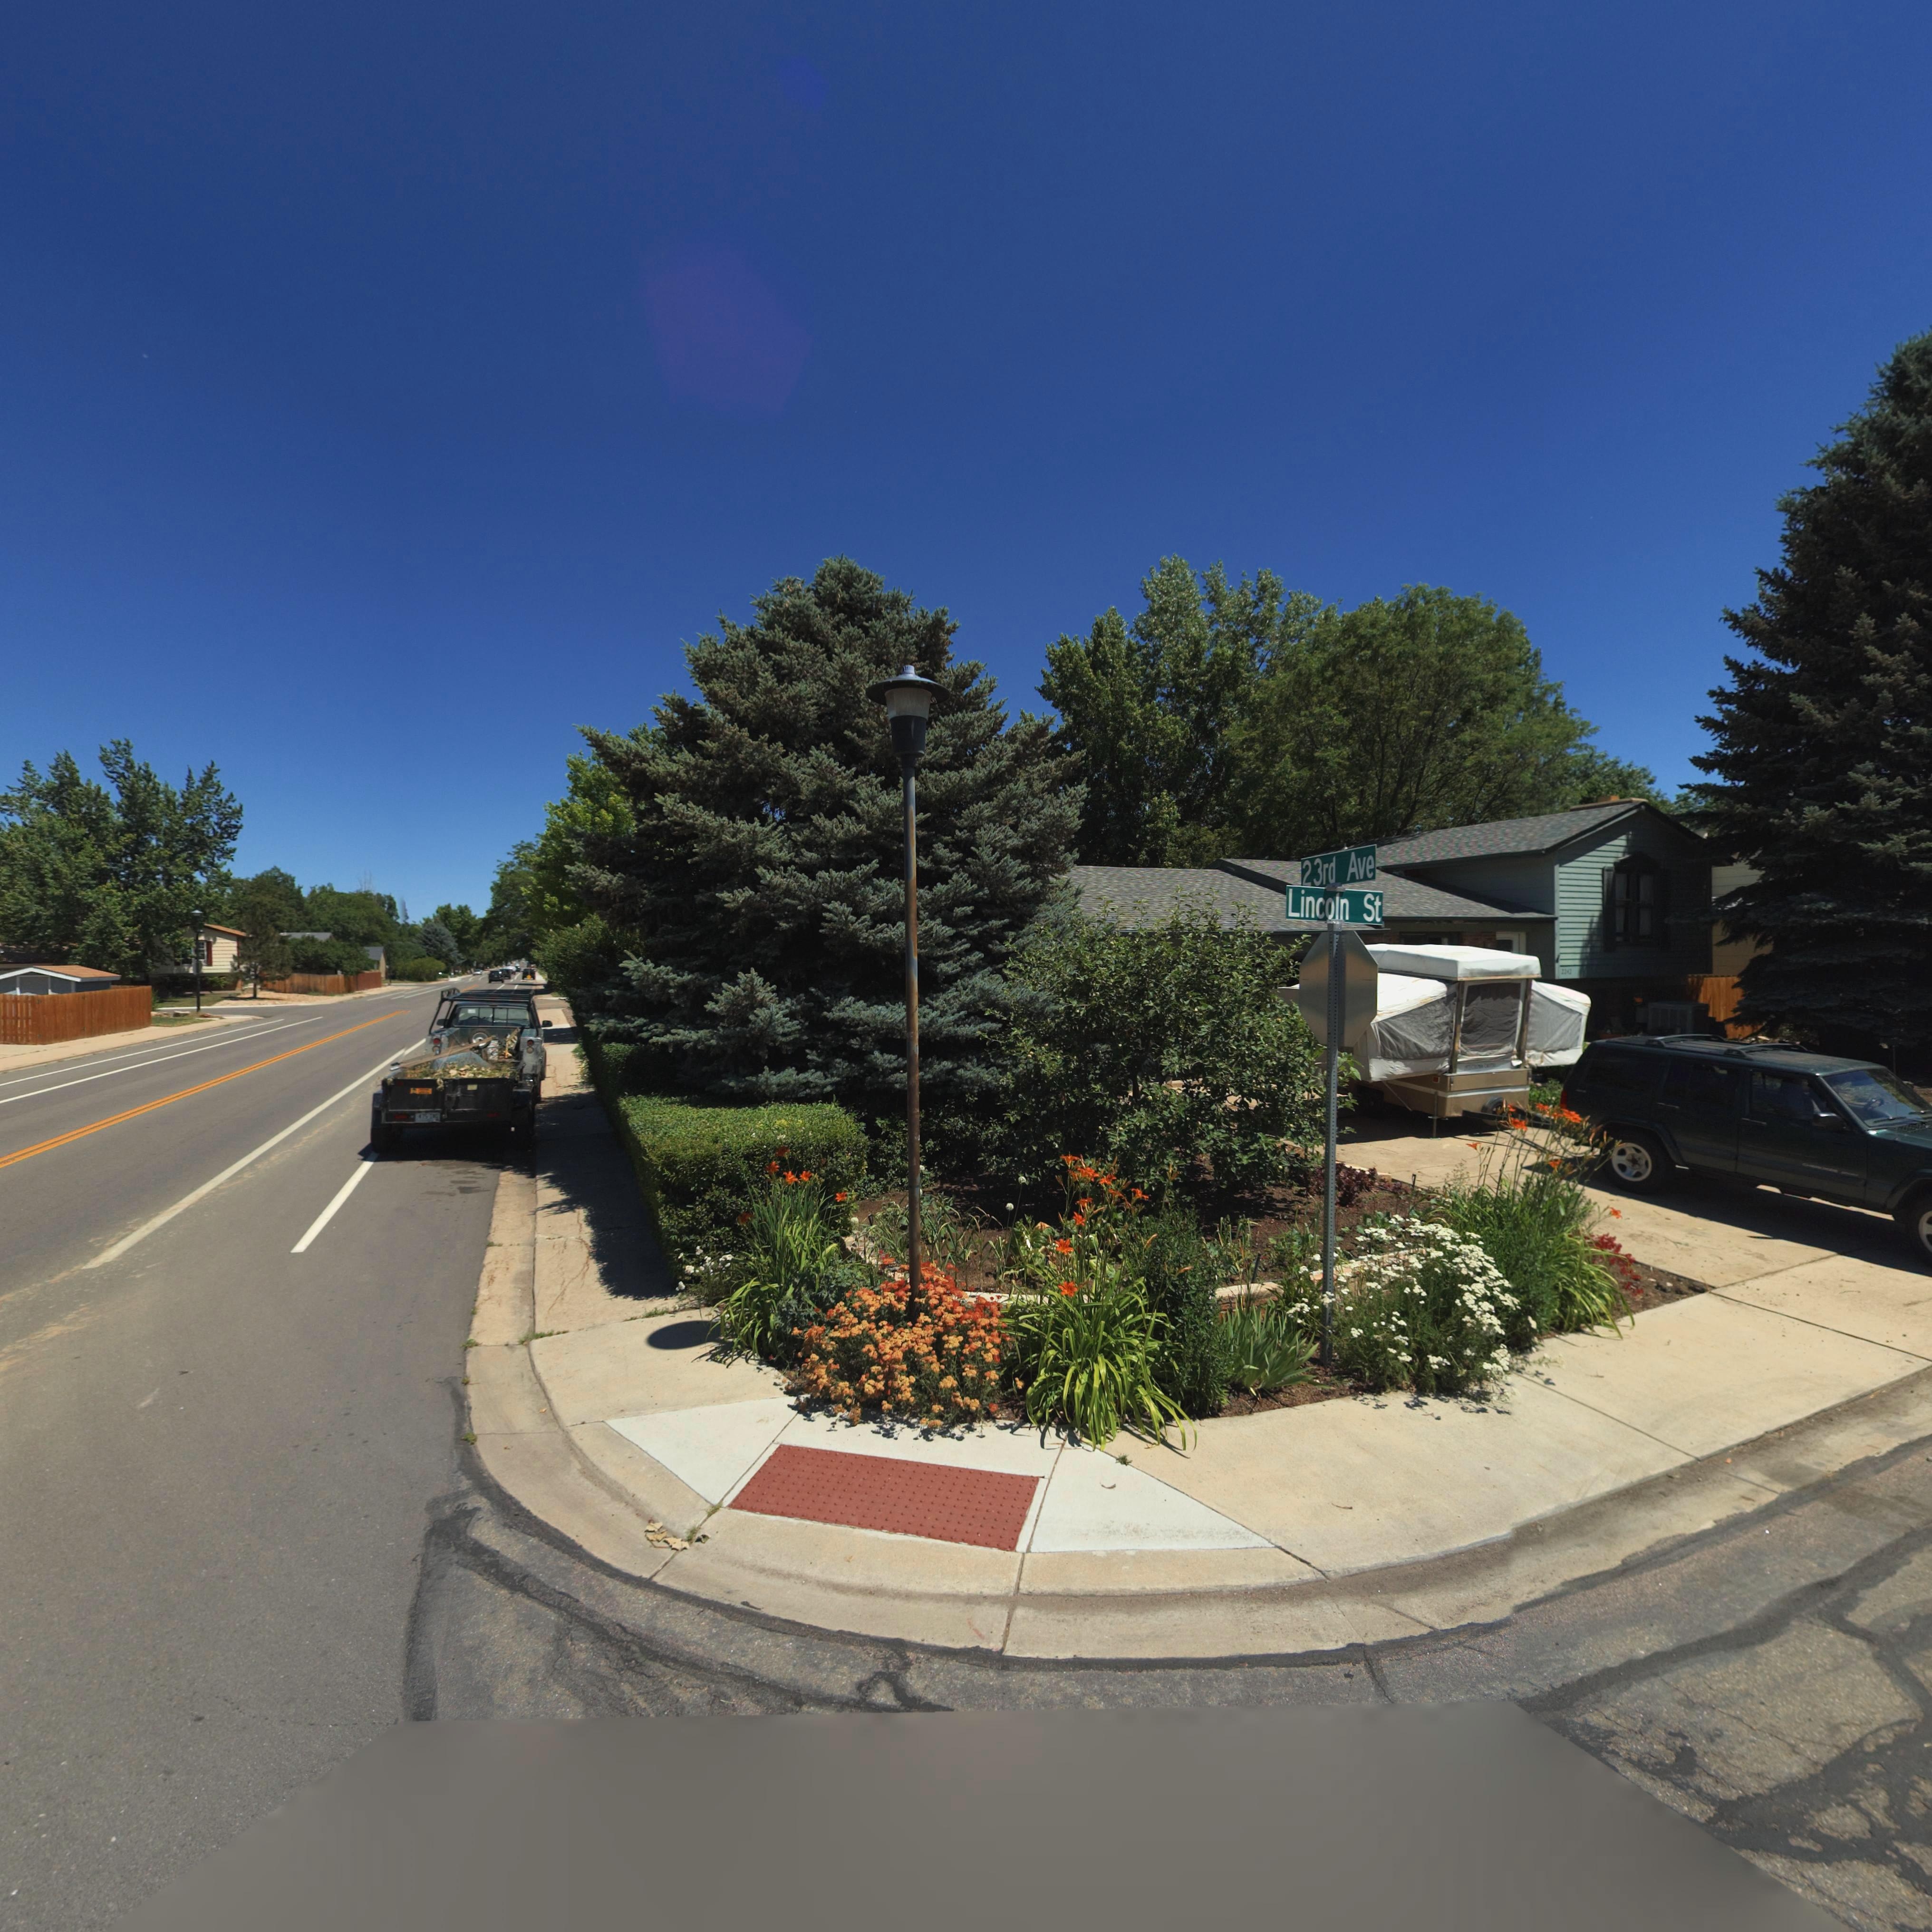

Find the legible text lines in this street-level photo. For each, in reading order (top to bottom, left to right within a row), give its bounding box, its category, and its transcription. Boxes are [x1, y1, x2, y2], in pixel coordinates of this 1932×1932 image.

[1302, 851, 1374, 886] StreetName: 23rd Ave
[1288, 888, 1381, 922] StreetName: Lincoln St
[1561, 968, 1572, 975] StreetNumber: 2242